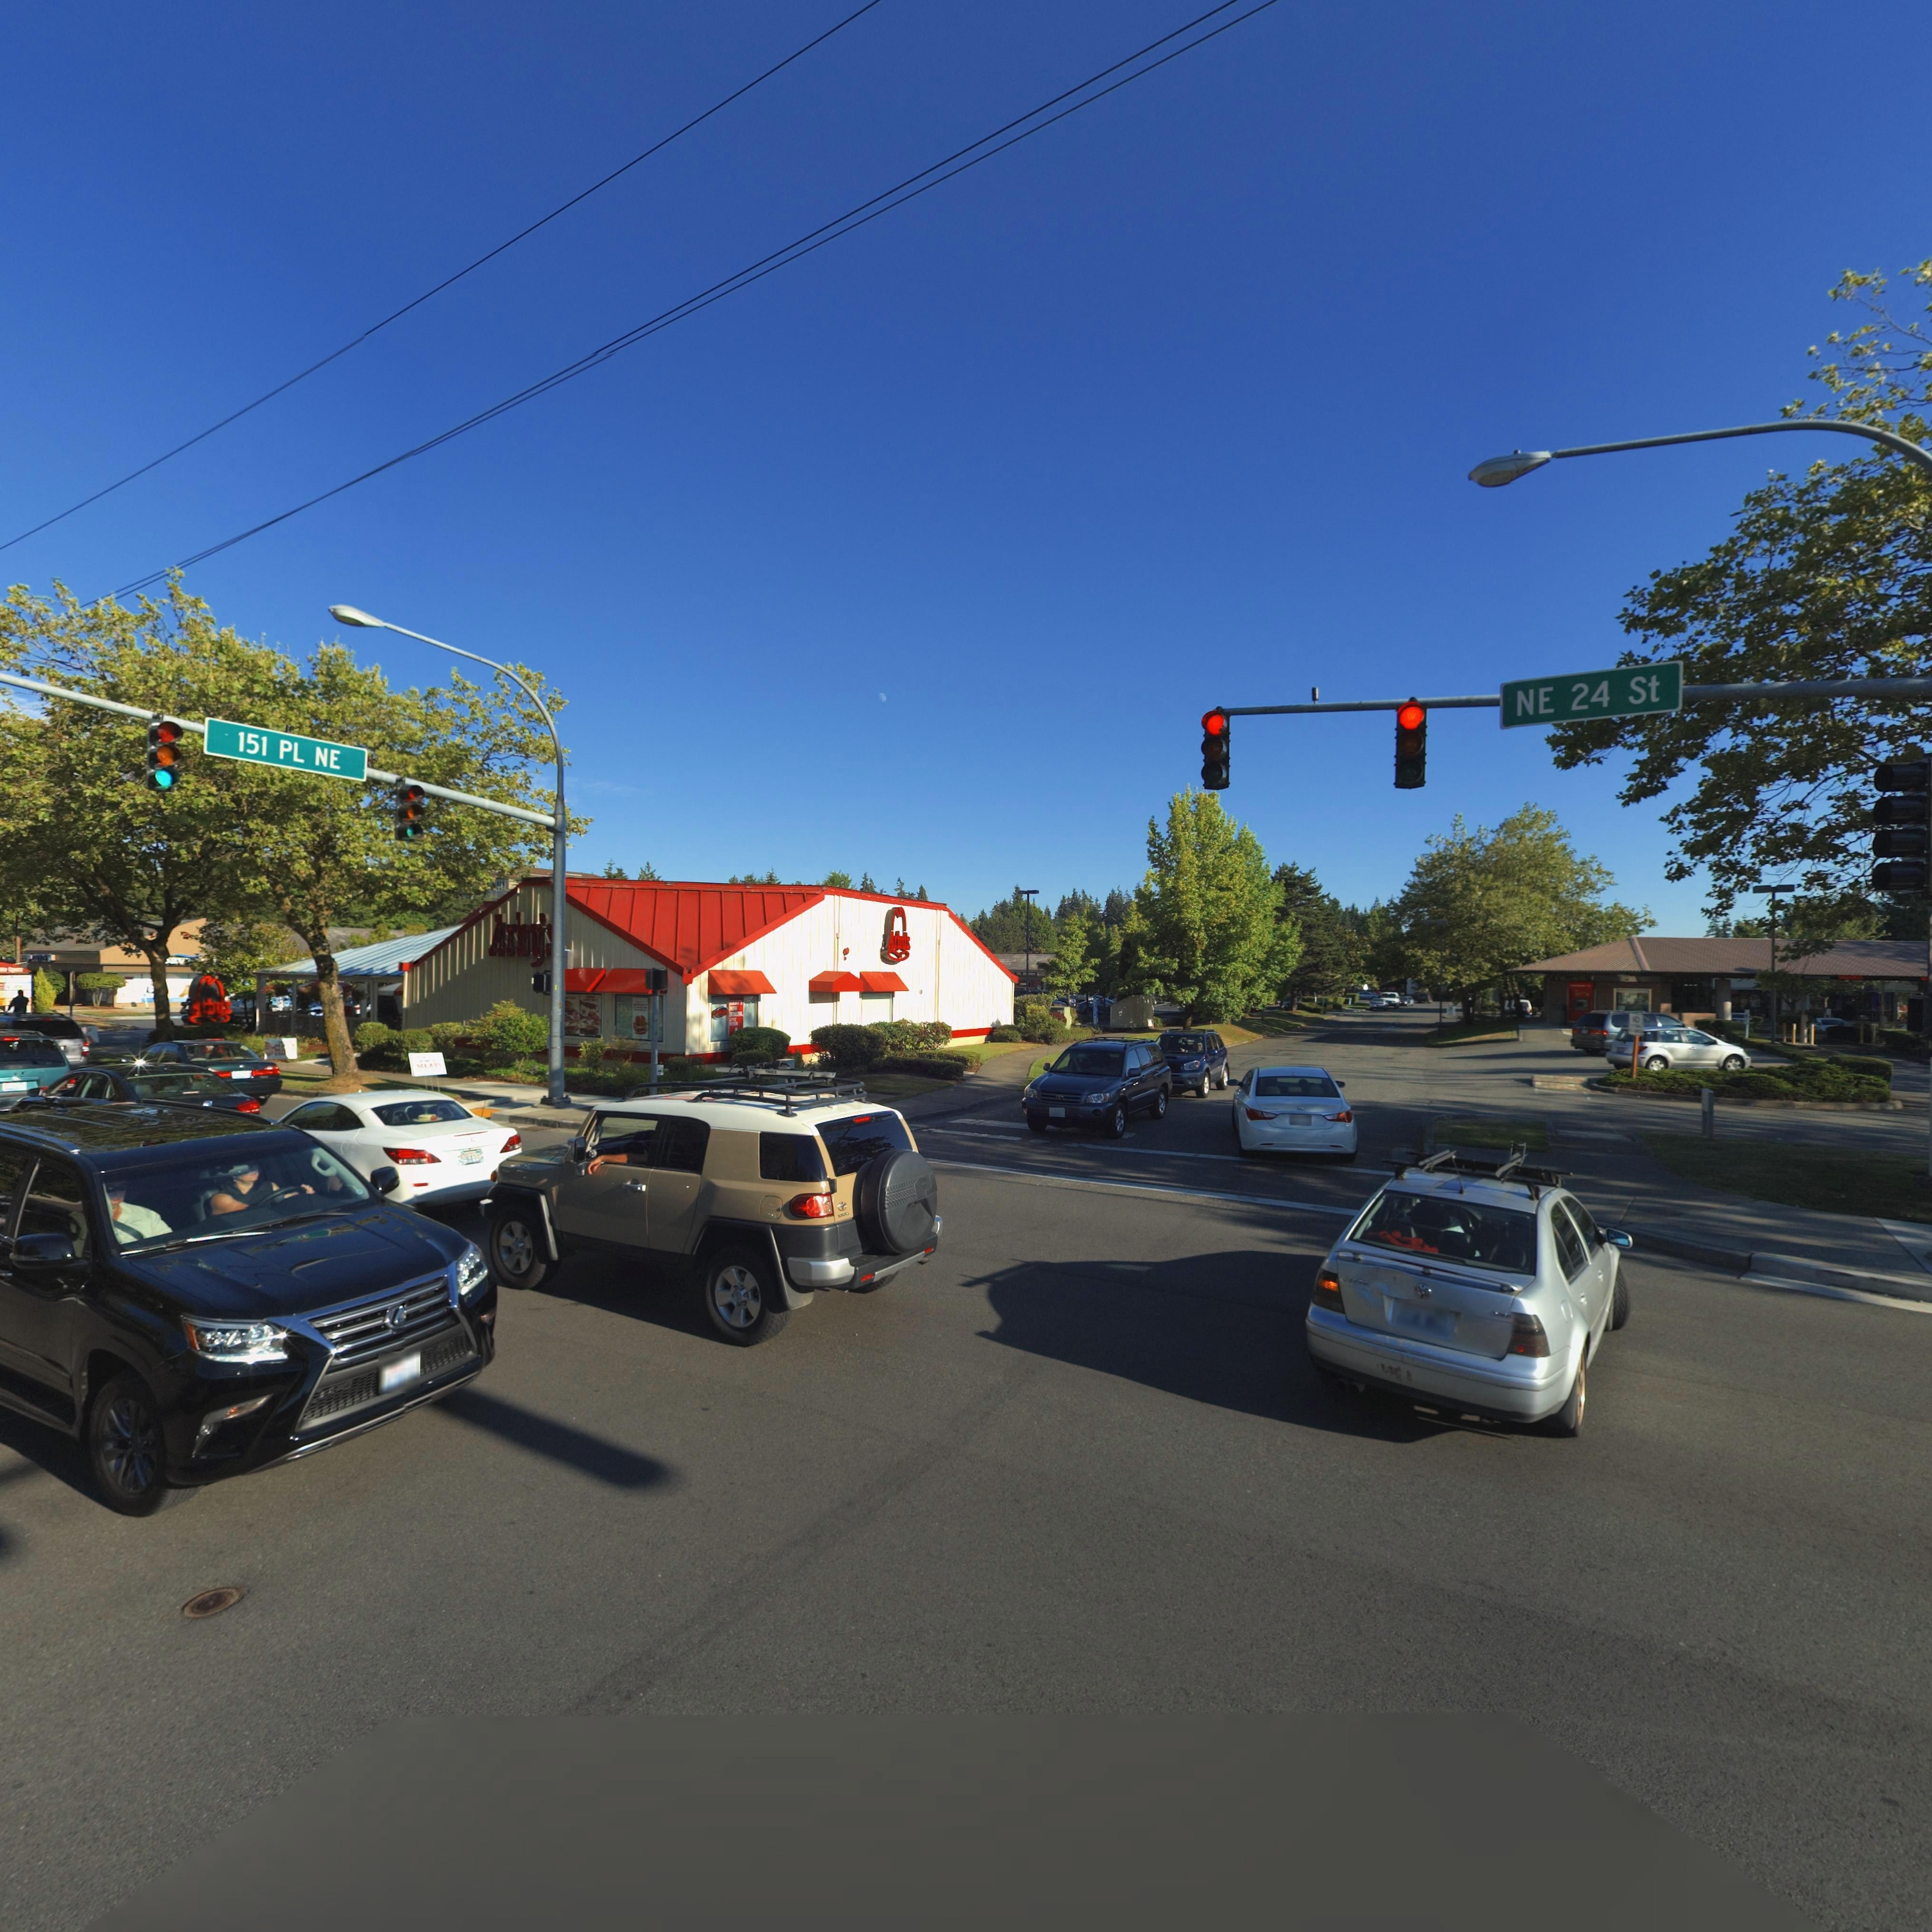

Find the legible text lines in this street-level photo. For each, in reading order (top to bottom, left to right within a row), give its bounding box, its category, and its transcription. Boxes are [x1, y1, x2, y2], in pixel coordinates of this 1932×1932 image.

[1514, 672, 1665, 720] StreetName: NE 24 St
[235, 729, 343, 773] StreetName: 151 PL NE
[484, 908, 549, 972] BusinessName: Arby
[885, 929, 912, 956] BusinessName: Arby*s
[205, 995, 236, 1021] BusinessName: by*s